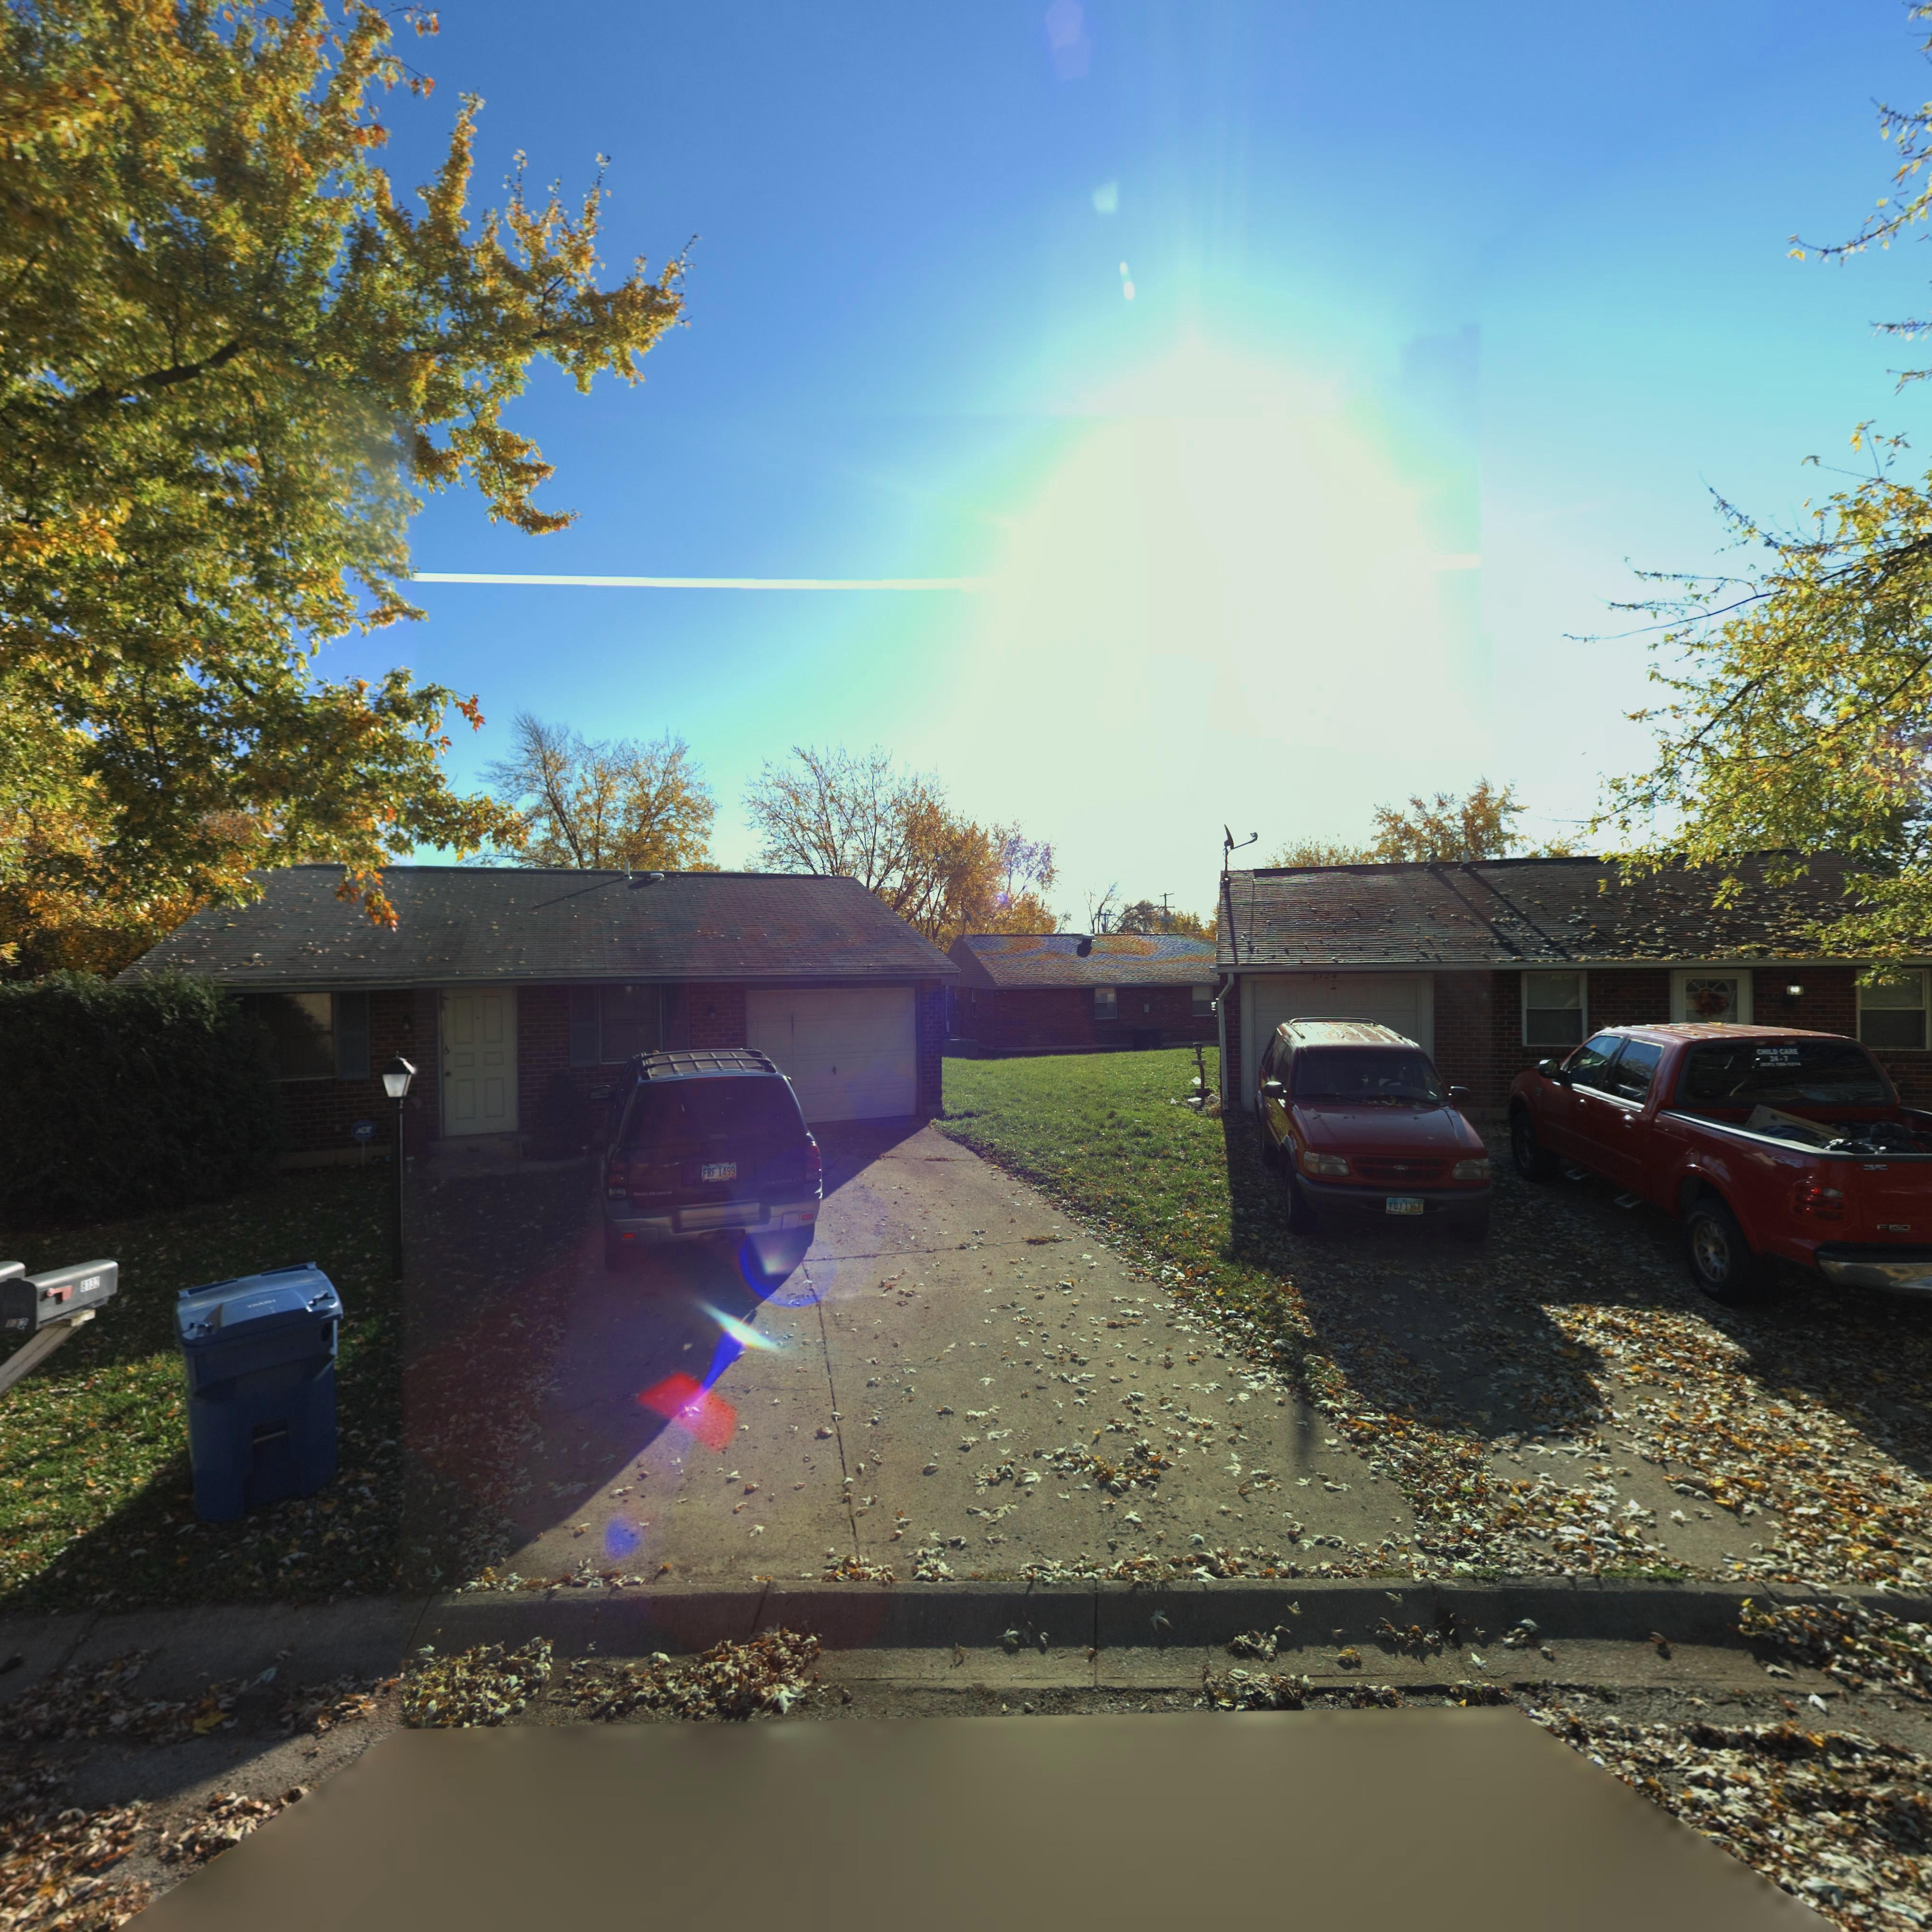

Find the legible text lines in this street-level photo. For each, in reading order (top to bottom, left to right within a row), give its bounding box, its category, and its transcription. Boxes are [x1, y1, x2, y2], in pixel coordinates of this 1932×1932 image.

[80, 1275, 101, 1294] StreetNumber: 8132
[5, 1316, 29, 1330] StreetNumber: **2